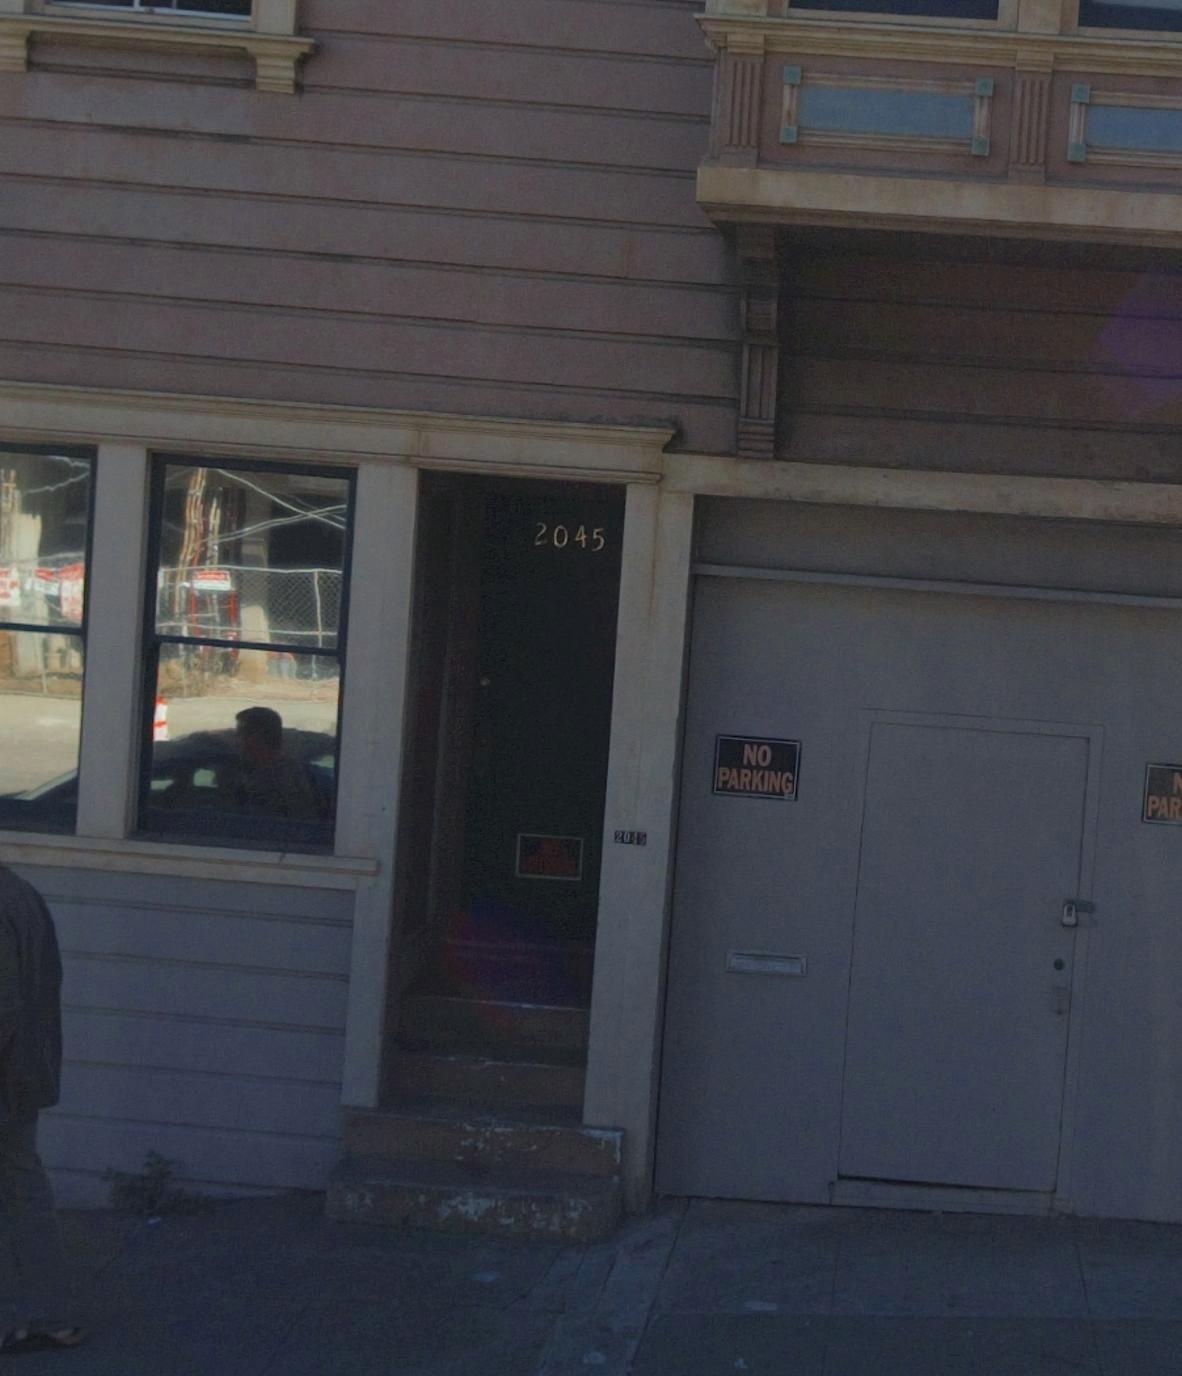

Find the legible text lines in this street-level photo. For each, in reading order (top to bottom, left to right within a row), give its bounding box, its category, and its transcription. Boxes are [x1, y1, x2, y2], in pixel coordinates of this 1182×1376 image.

[531, 520, 607, 553] StreetNumber: 2045
[741, 741, 774, 769] None: NO
[716, 765, 795, 796] None: PARKING
[1147, 794, 1181, 819] None: PAR
[614, 830, 648, 846] StreetNumber: 2045